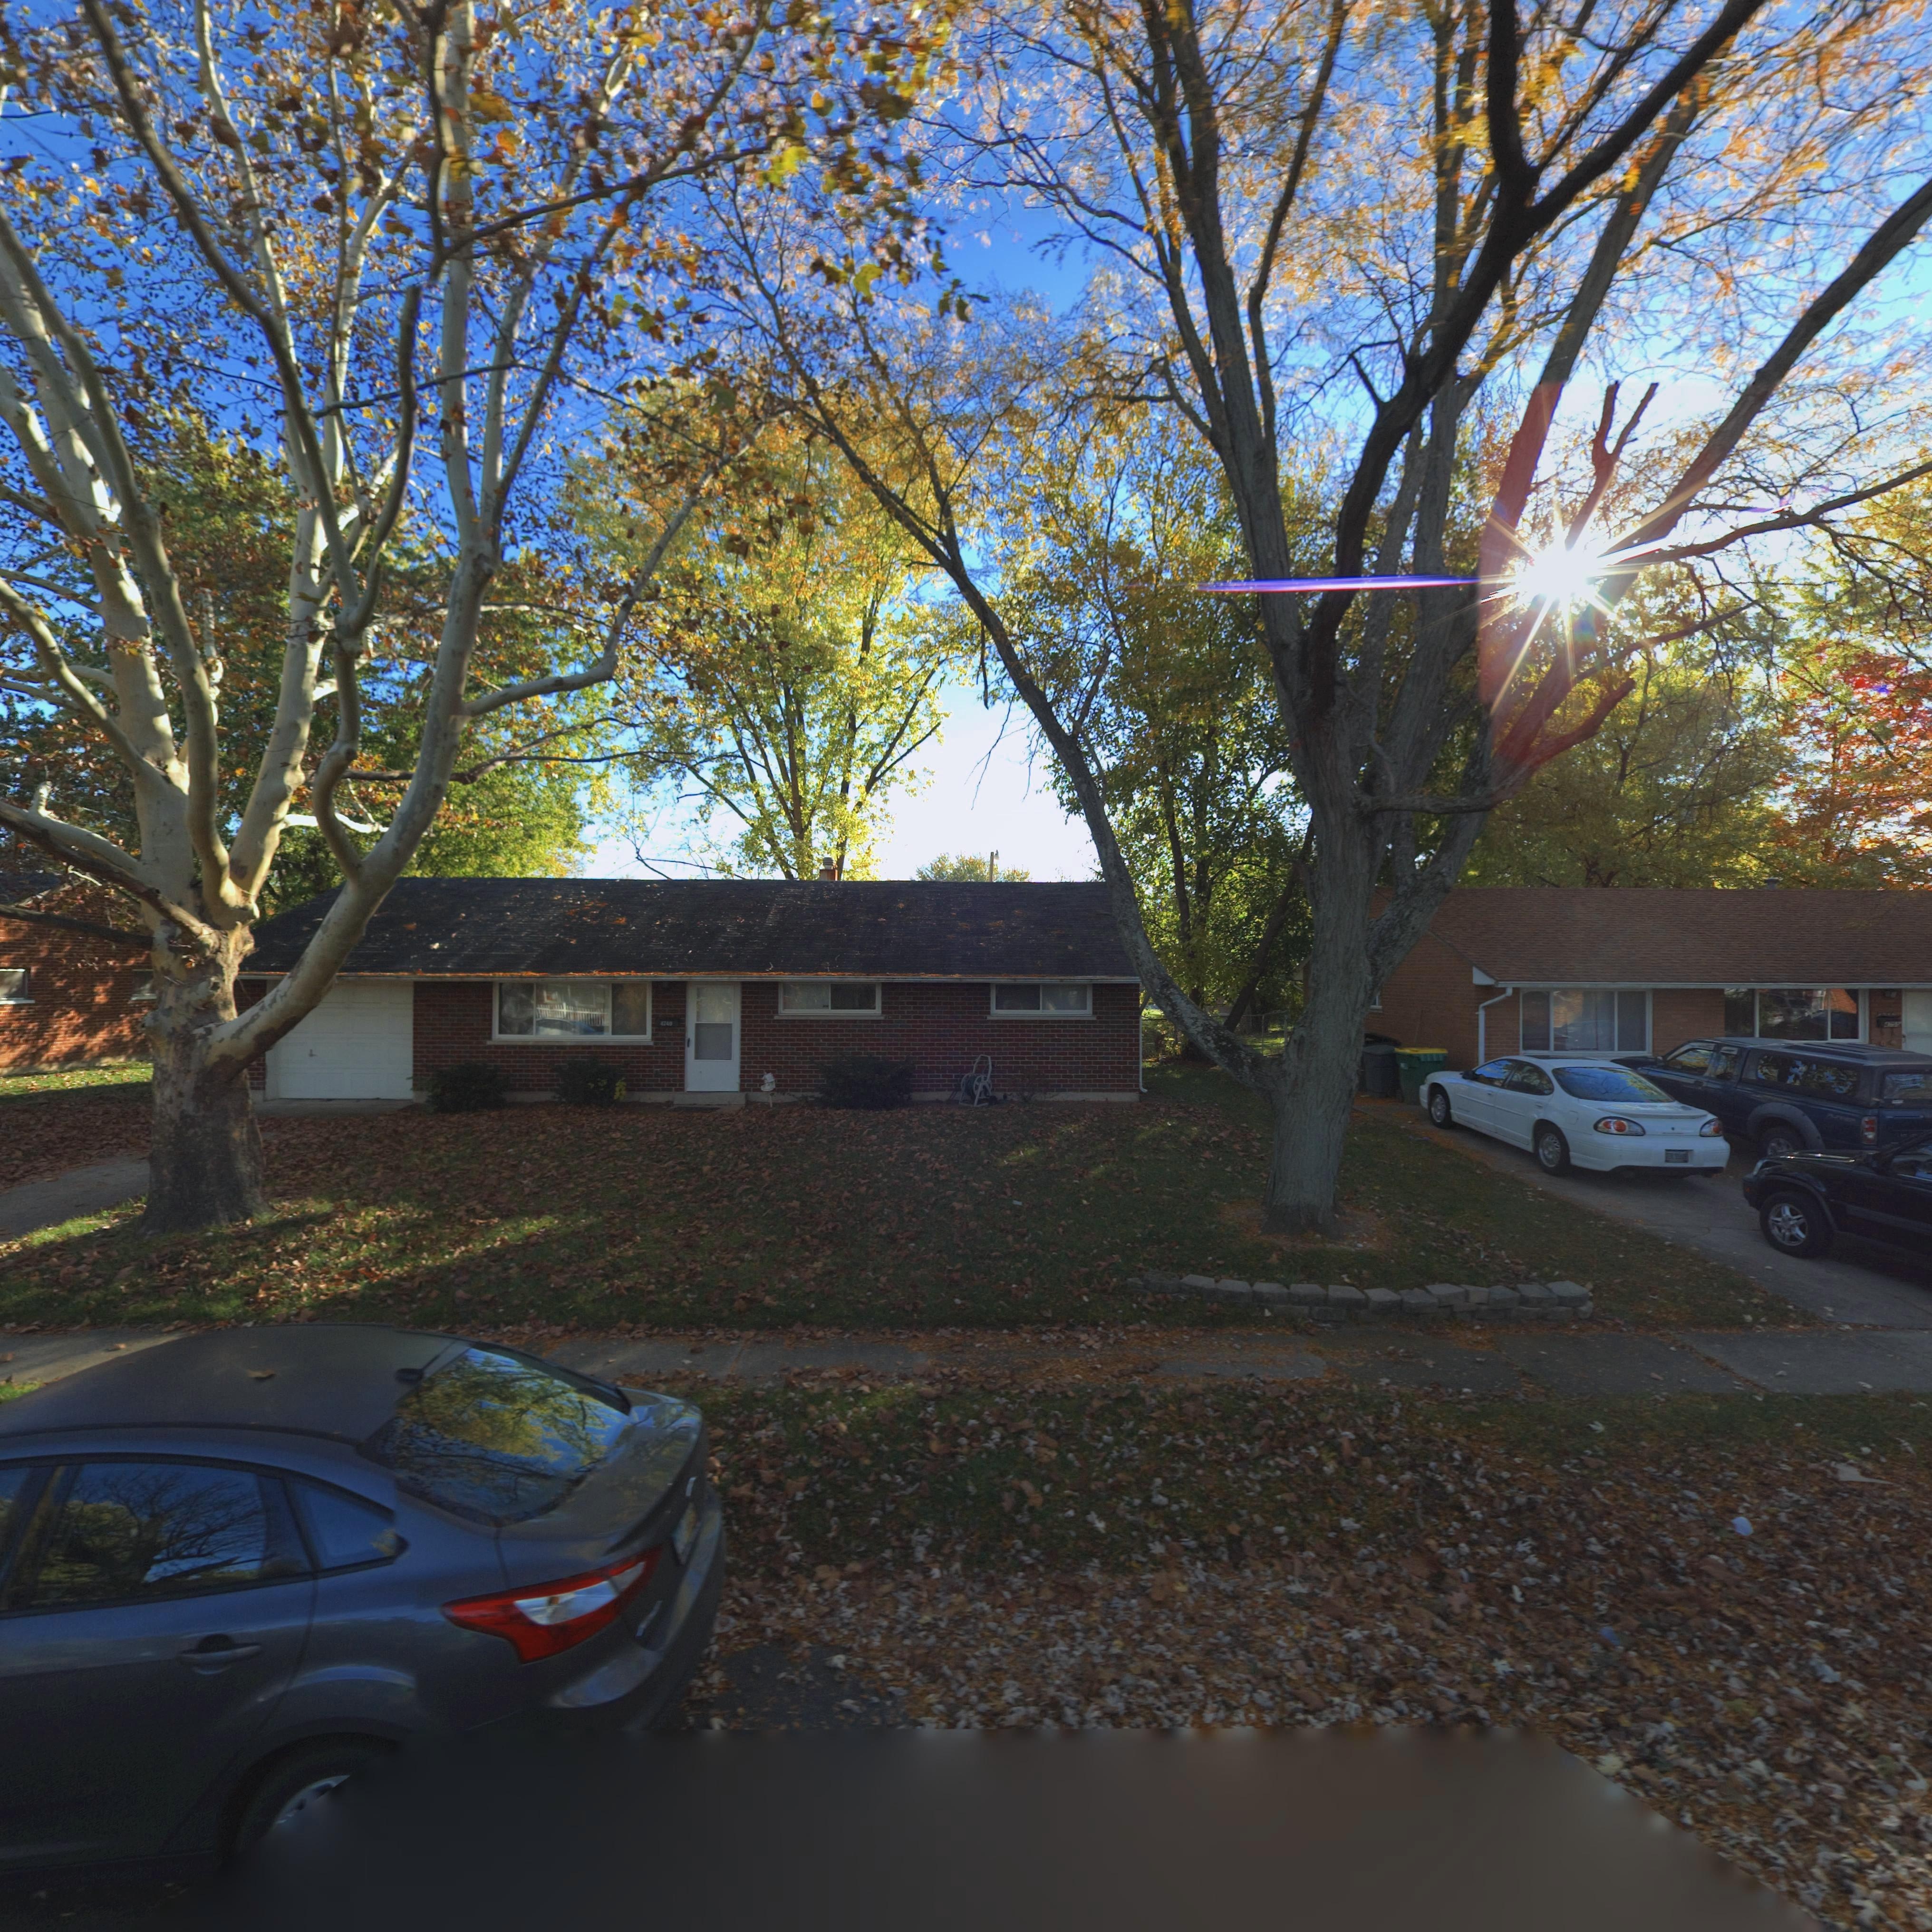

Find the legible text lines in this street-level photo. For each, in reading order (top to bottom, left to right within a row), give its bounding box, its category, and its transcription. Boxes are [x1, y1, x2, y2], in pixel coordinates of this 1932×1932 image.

[659, 1020, 673, 1027] StreetNumber: 4740